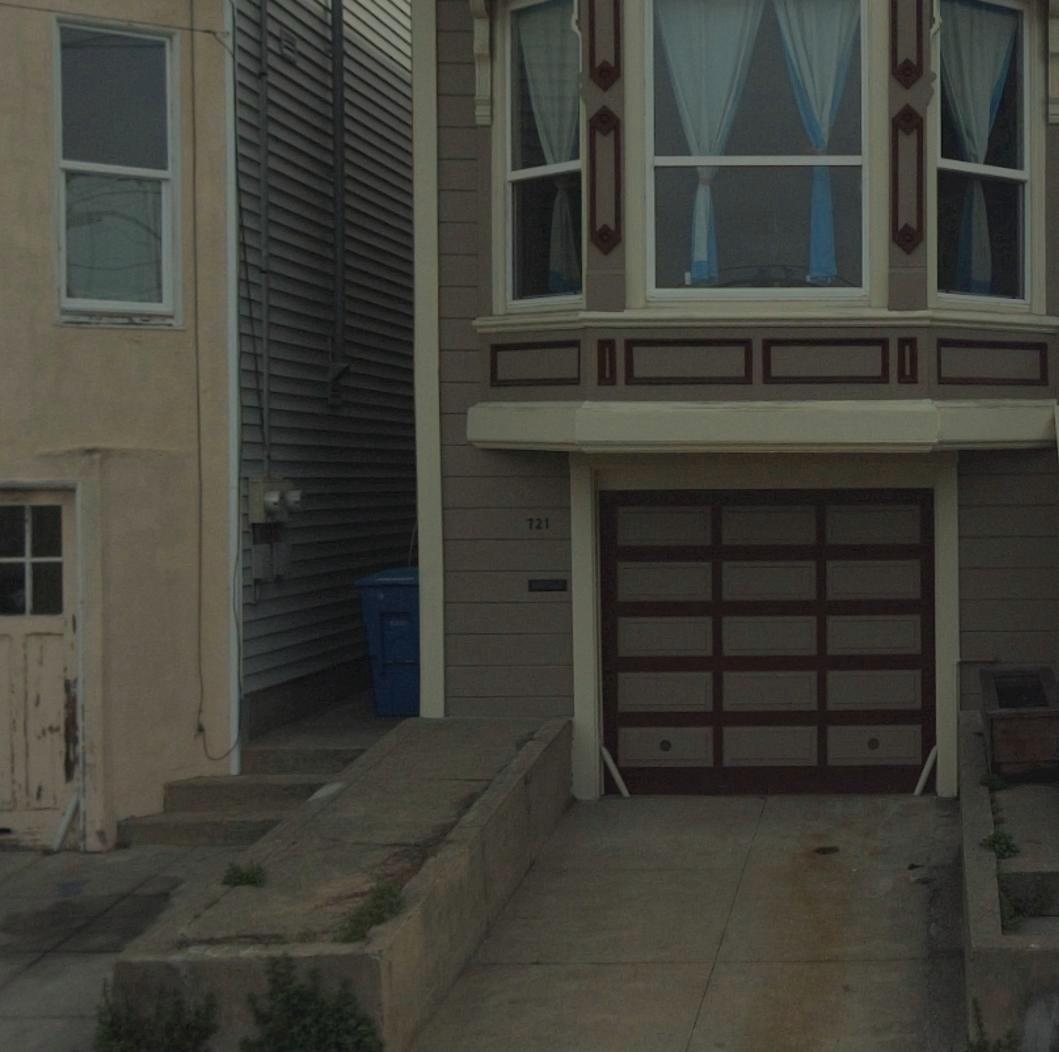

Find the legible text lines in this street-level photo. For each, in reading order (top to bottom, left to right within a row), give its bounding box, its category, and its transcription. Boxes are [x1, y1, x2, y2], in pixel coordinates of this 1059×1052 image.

[526, 516, 551, 531] StreetNumber: 721